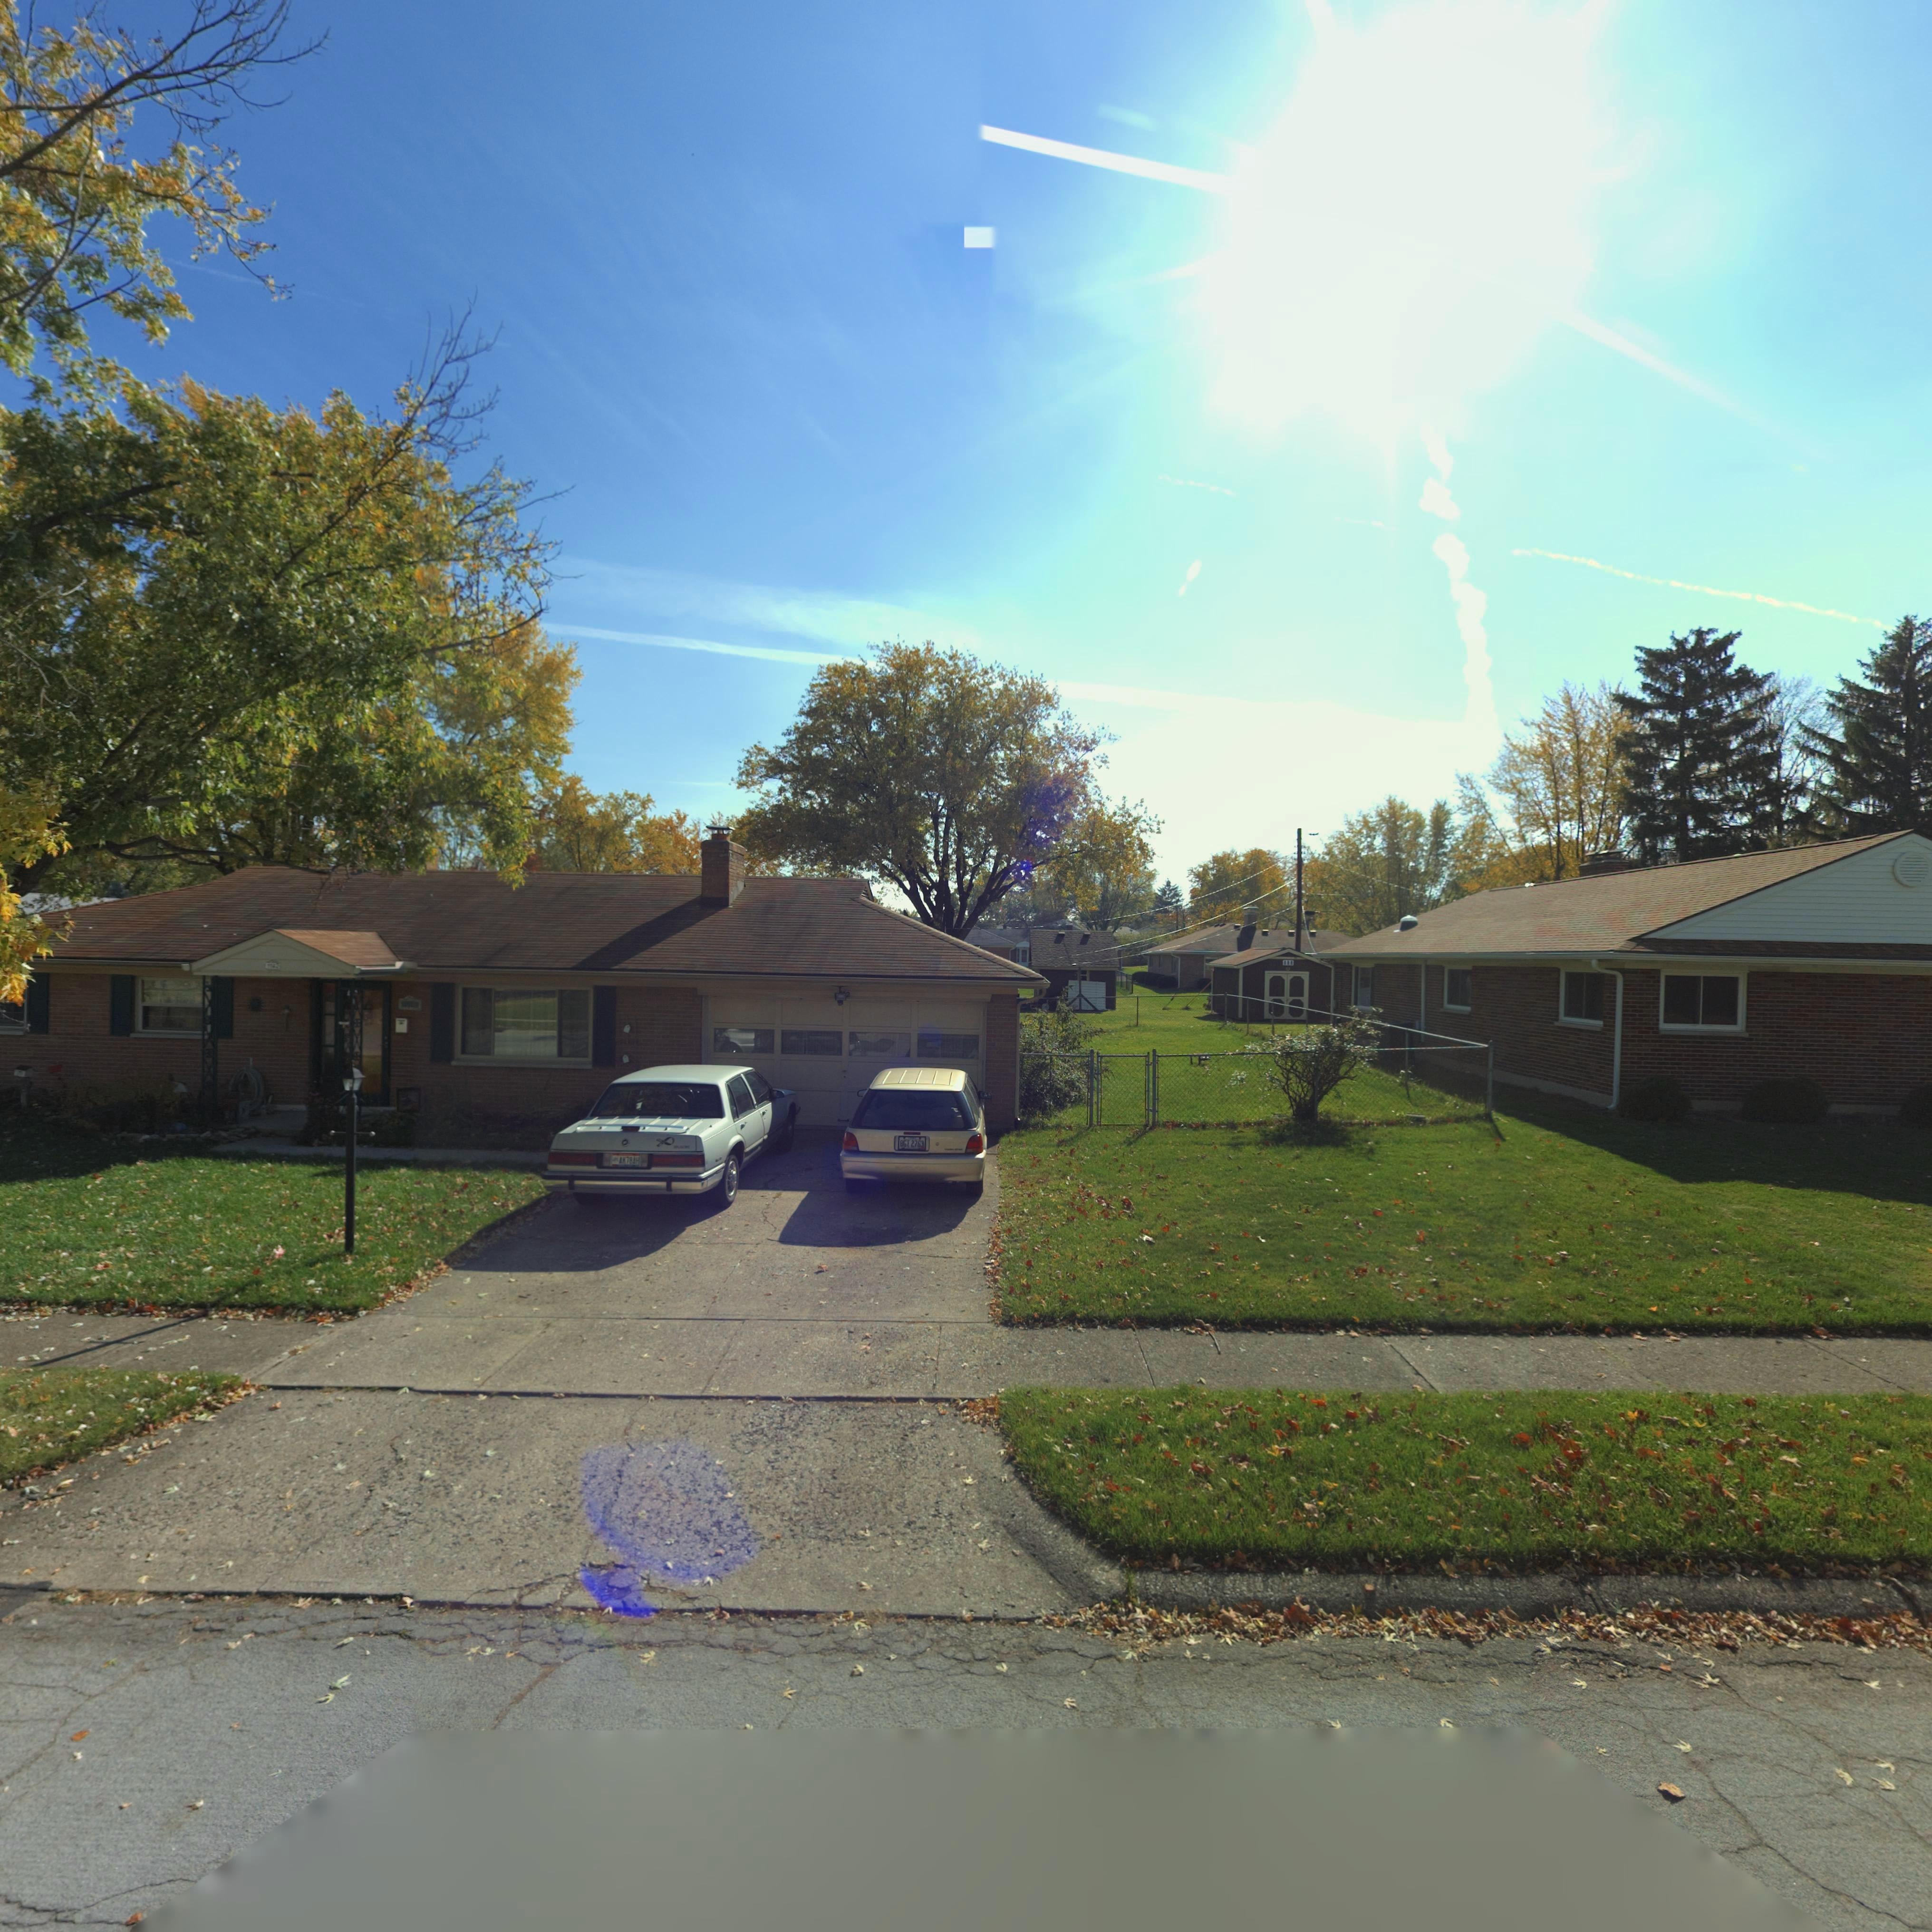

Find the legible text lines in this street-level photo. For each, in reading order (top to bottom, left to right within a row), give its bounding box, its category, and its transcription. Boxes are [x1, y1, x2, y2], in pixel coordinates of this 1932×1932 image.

[266, 962, 280, 969] StreetNumber: 1142
[900, 1140, 924, 1147] None: OGT2763
[673, 1145, 689, 1150] None: BUICK
[618, 1156, 639, 1164] None: AM78AH
[894, 1165, 927, 1172] None: SATURN